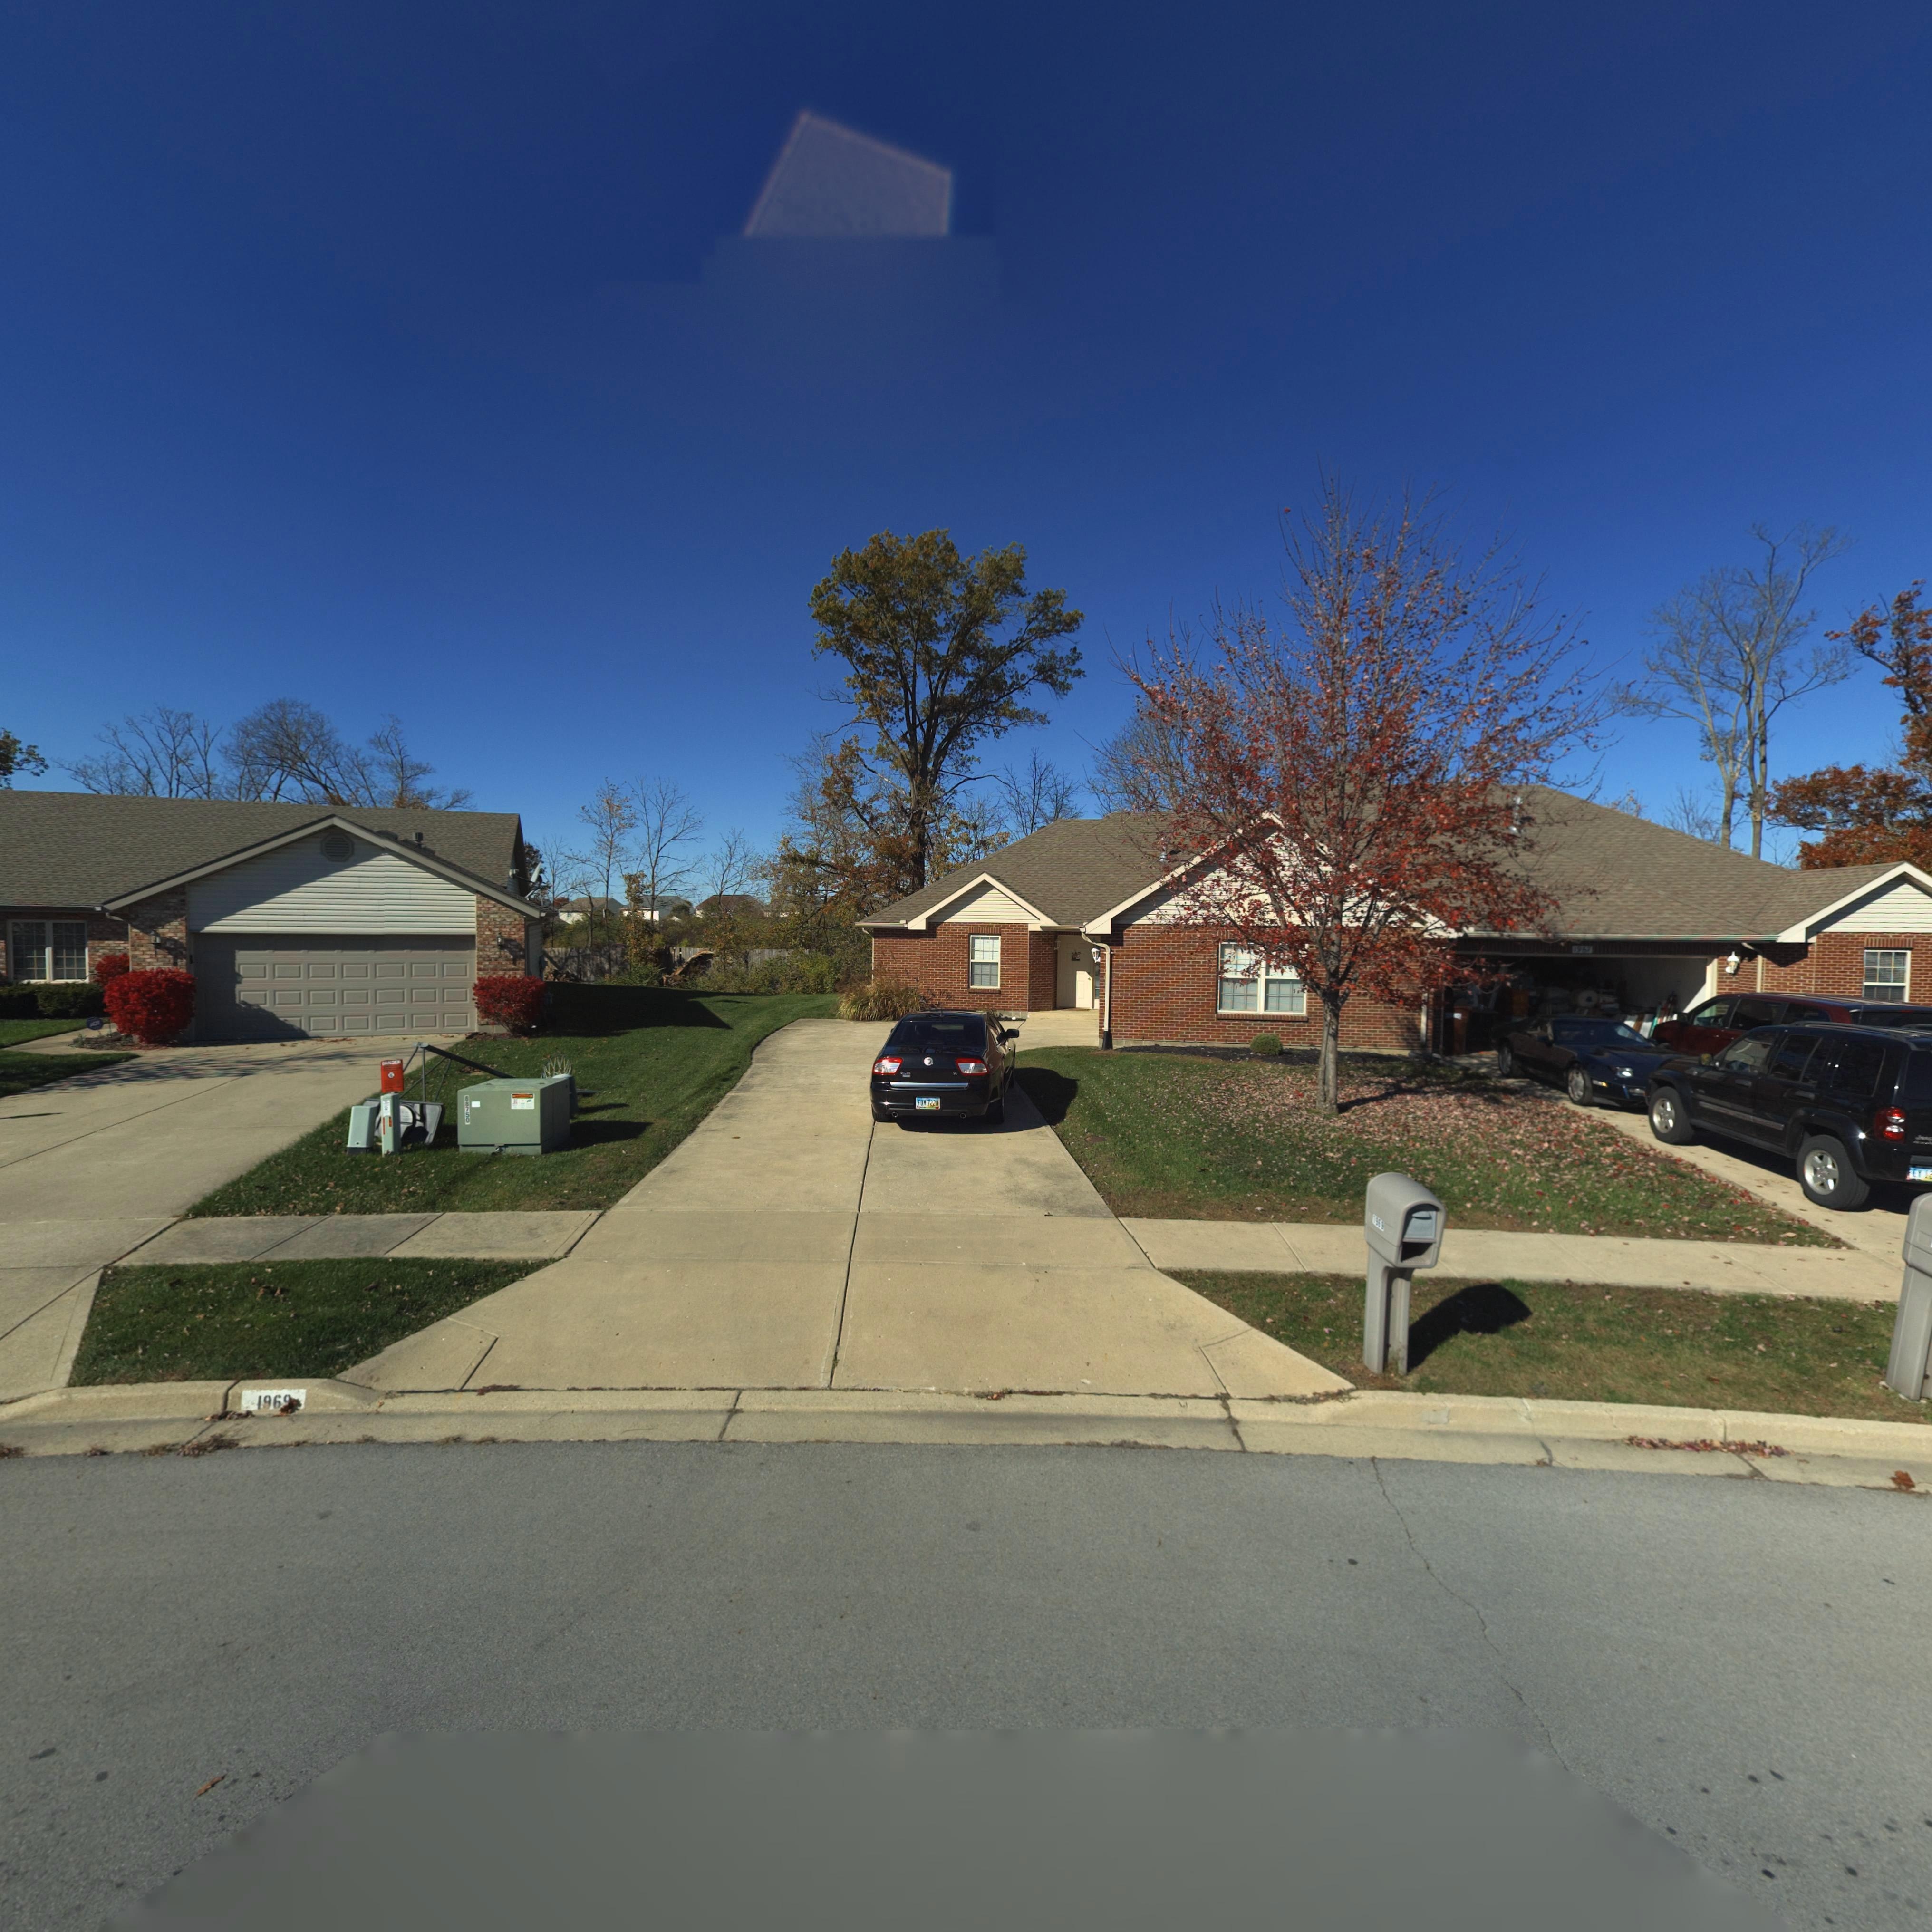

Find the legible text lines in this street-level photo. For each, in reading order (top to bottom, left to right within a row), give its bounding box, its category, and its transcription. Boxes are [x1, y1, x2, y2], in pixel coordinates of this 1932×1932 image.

[1572, 945, 1592, 953] StreetNumber: 196*
[1372, 1213, 1385, 1232] None: 1969
[256, 1393, 293, 1410] StreetNumber: 1*6*